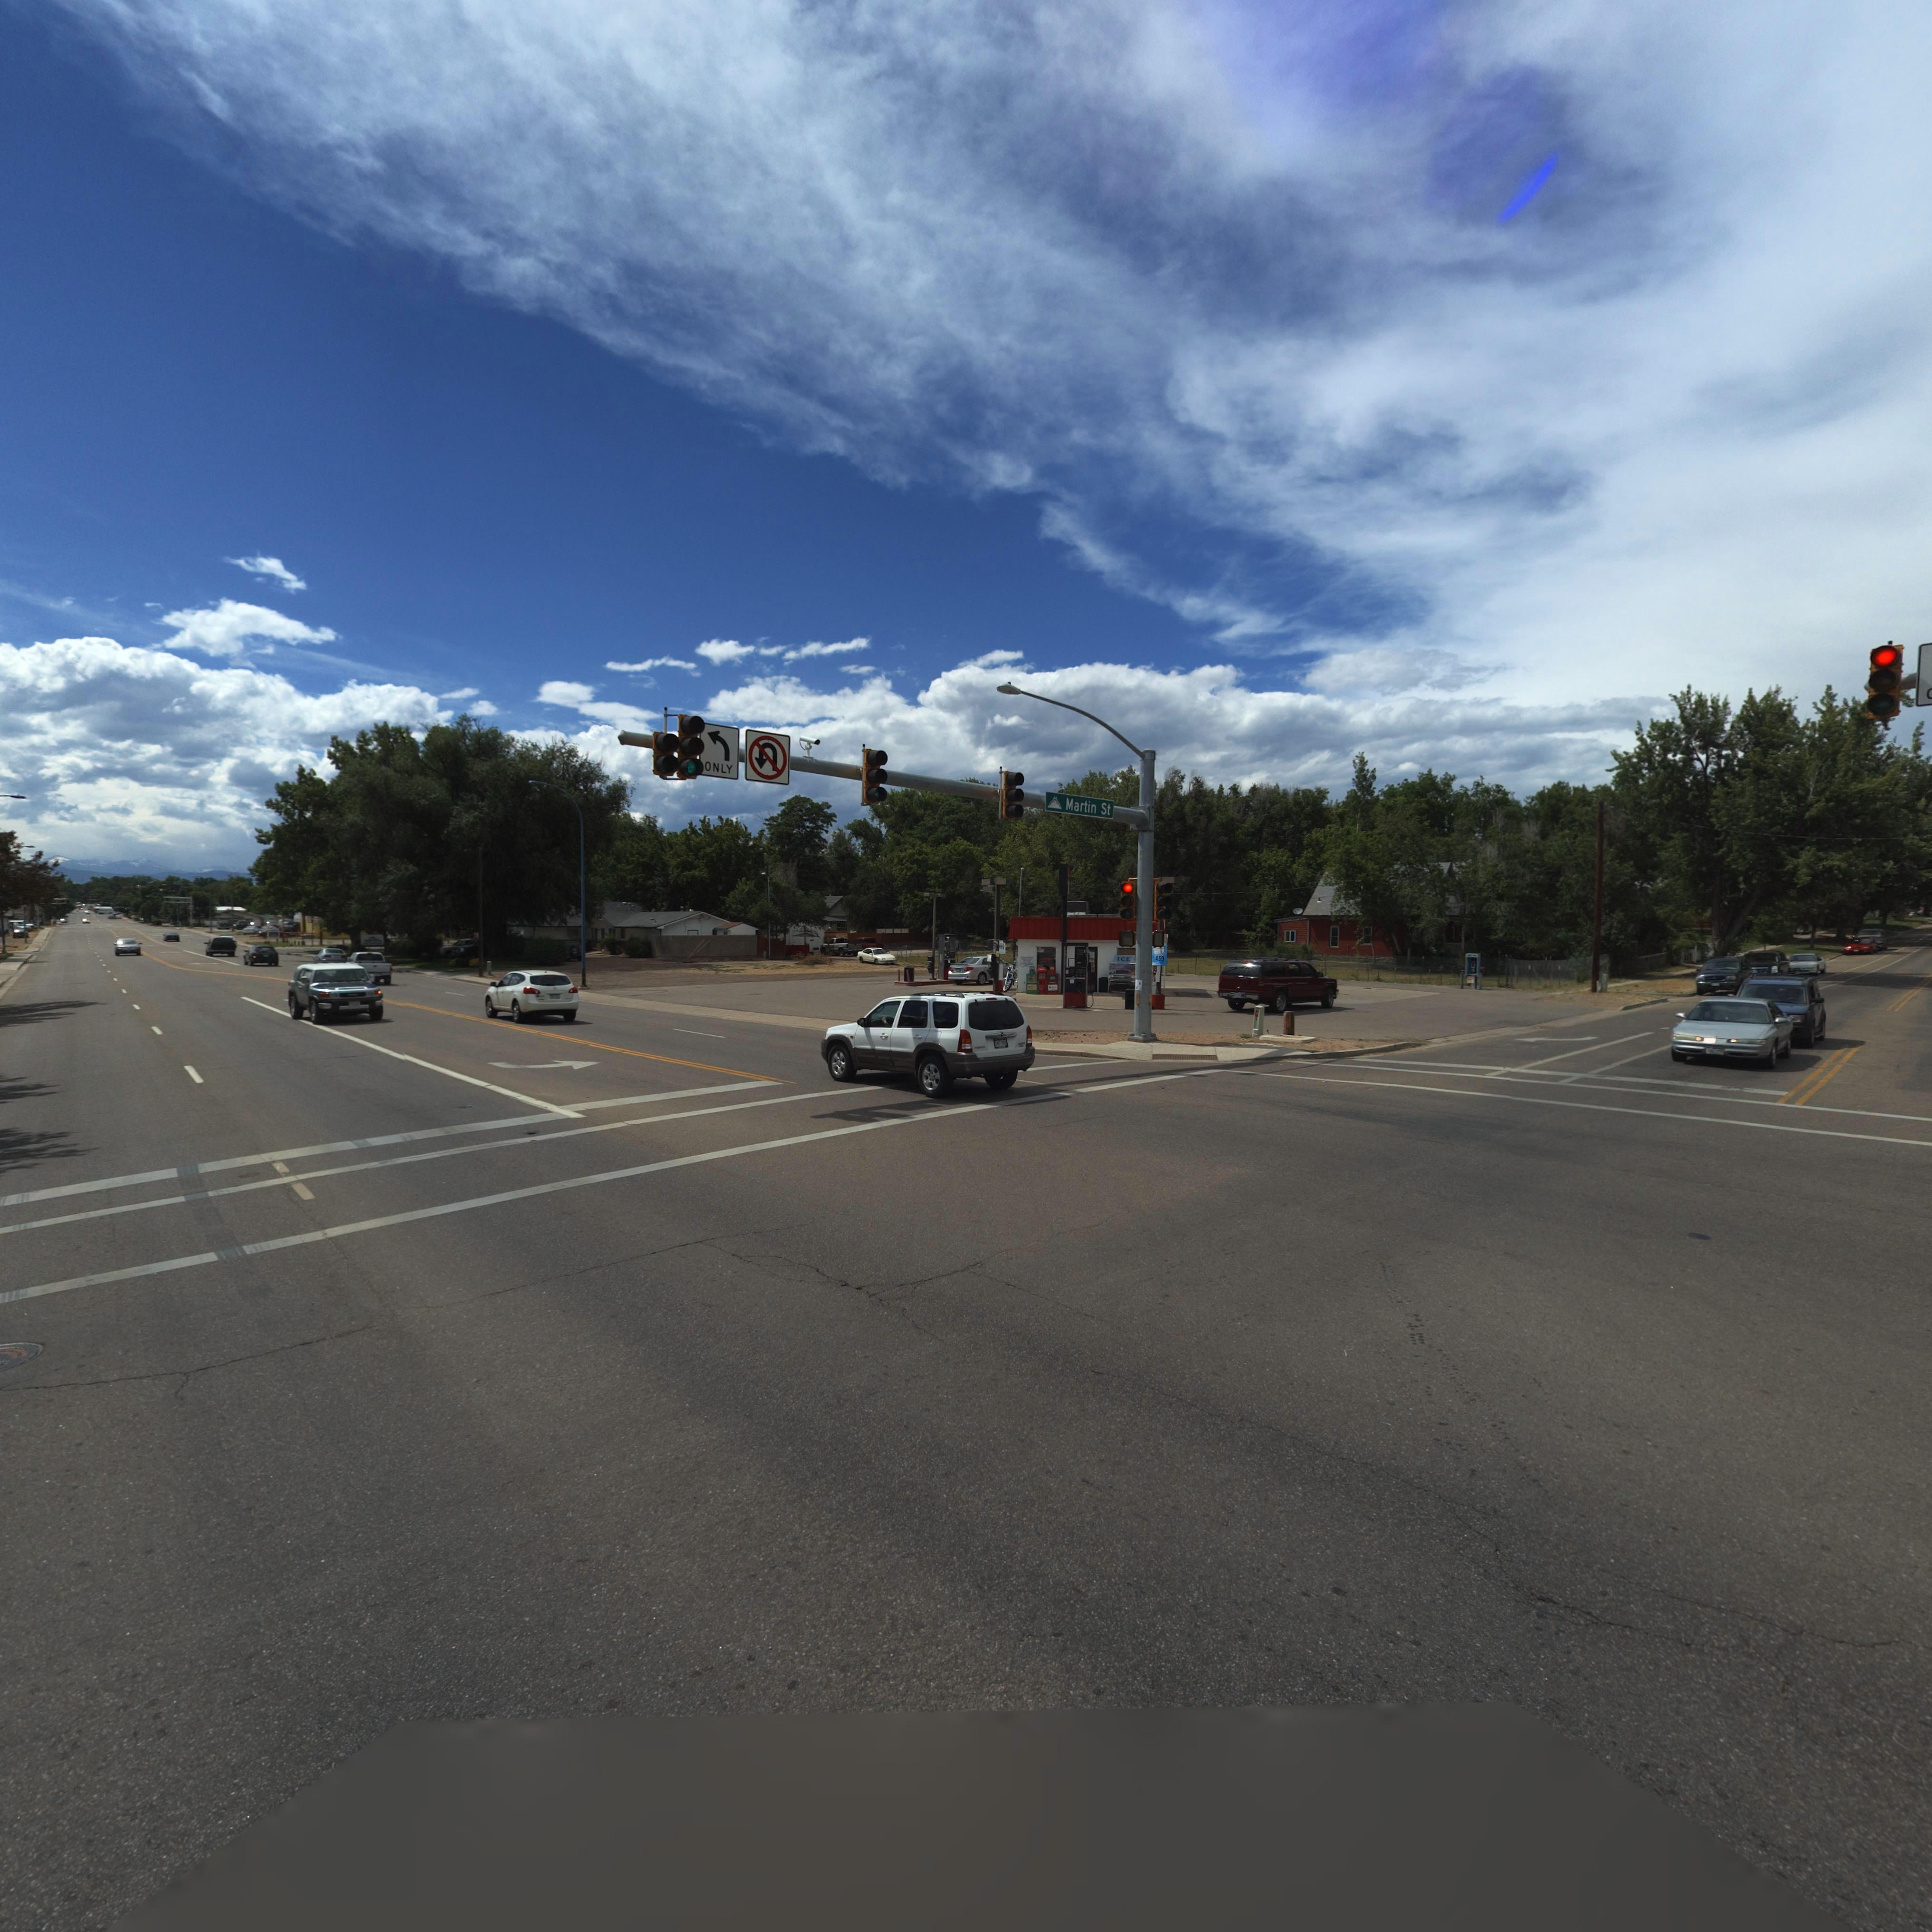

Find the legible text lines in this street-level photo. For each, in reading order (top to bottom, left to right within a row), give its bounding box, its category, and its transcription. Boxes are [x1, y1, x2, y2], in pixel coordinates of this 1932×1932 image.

[1066, 796, 1111, 816] StreetName: Martin St